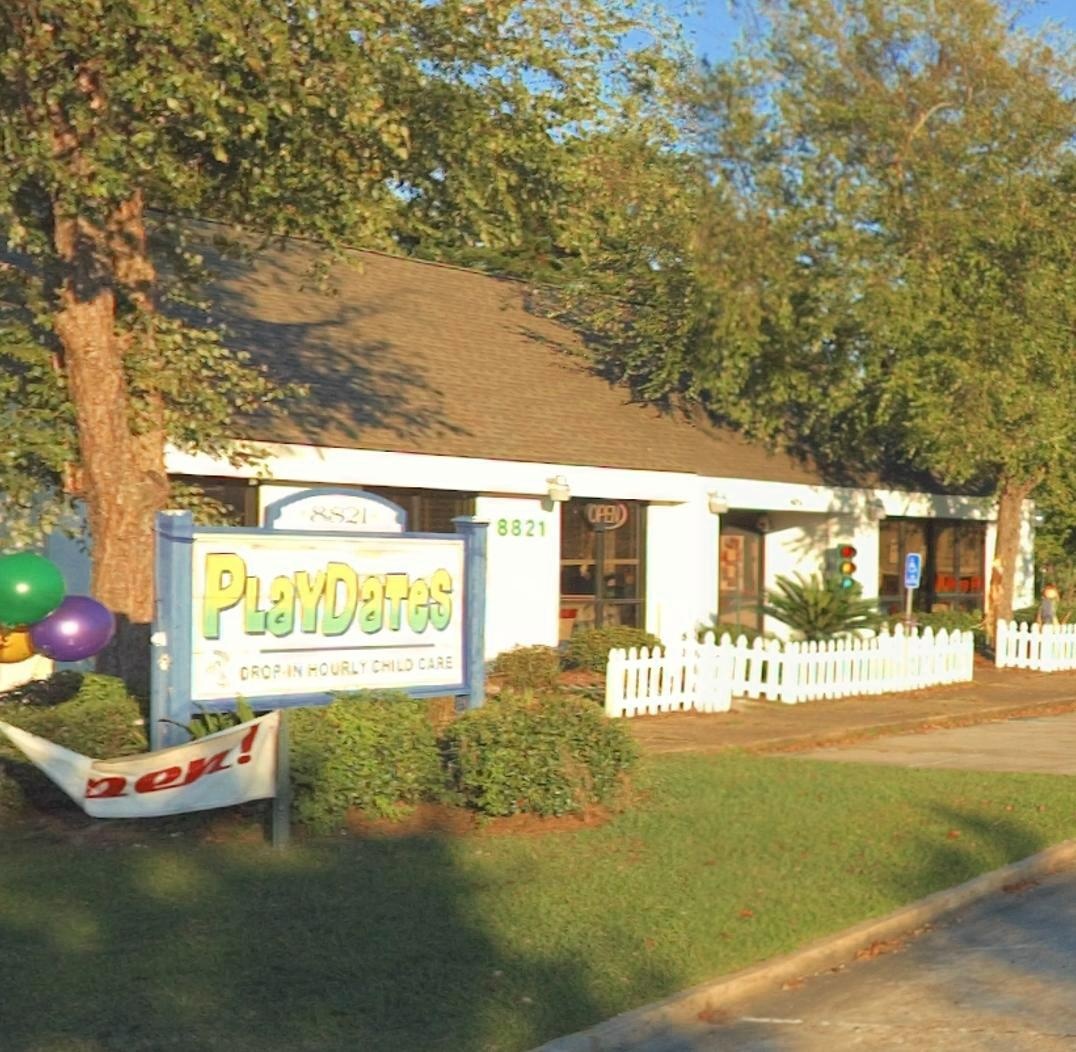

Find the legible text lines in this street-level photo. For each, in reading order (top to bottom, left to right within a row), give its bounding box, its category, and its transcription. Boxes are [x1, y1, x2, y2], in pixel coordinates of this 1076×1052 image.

[309, 502, 367, 526] StreetNumber: 8821
[587, 504, 620, 523] None: OPEN
[495, 518, 547, 538] StreetNumber: 8821
[203, 551, 454, 640] BusinessName: PLaYDaTes
[238, 655, 455, 682] None: DROP-IN HOURLY CHILD CARE
[132, 720, 264, 796] None: en!